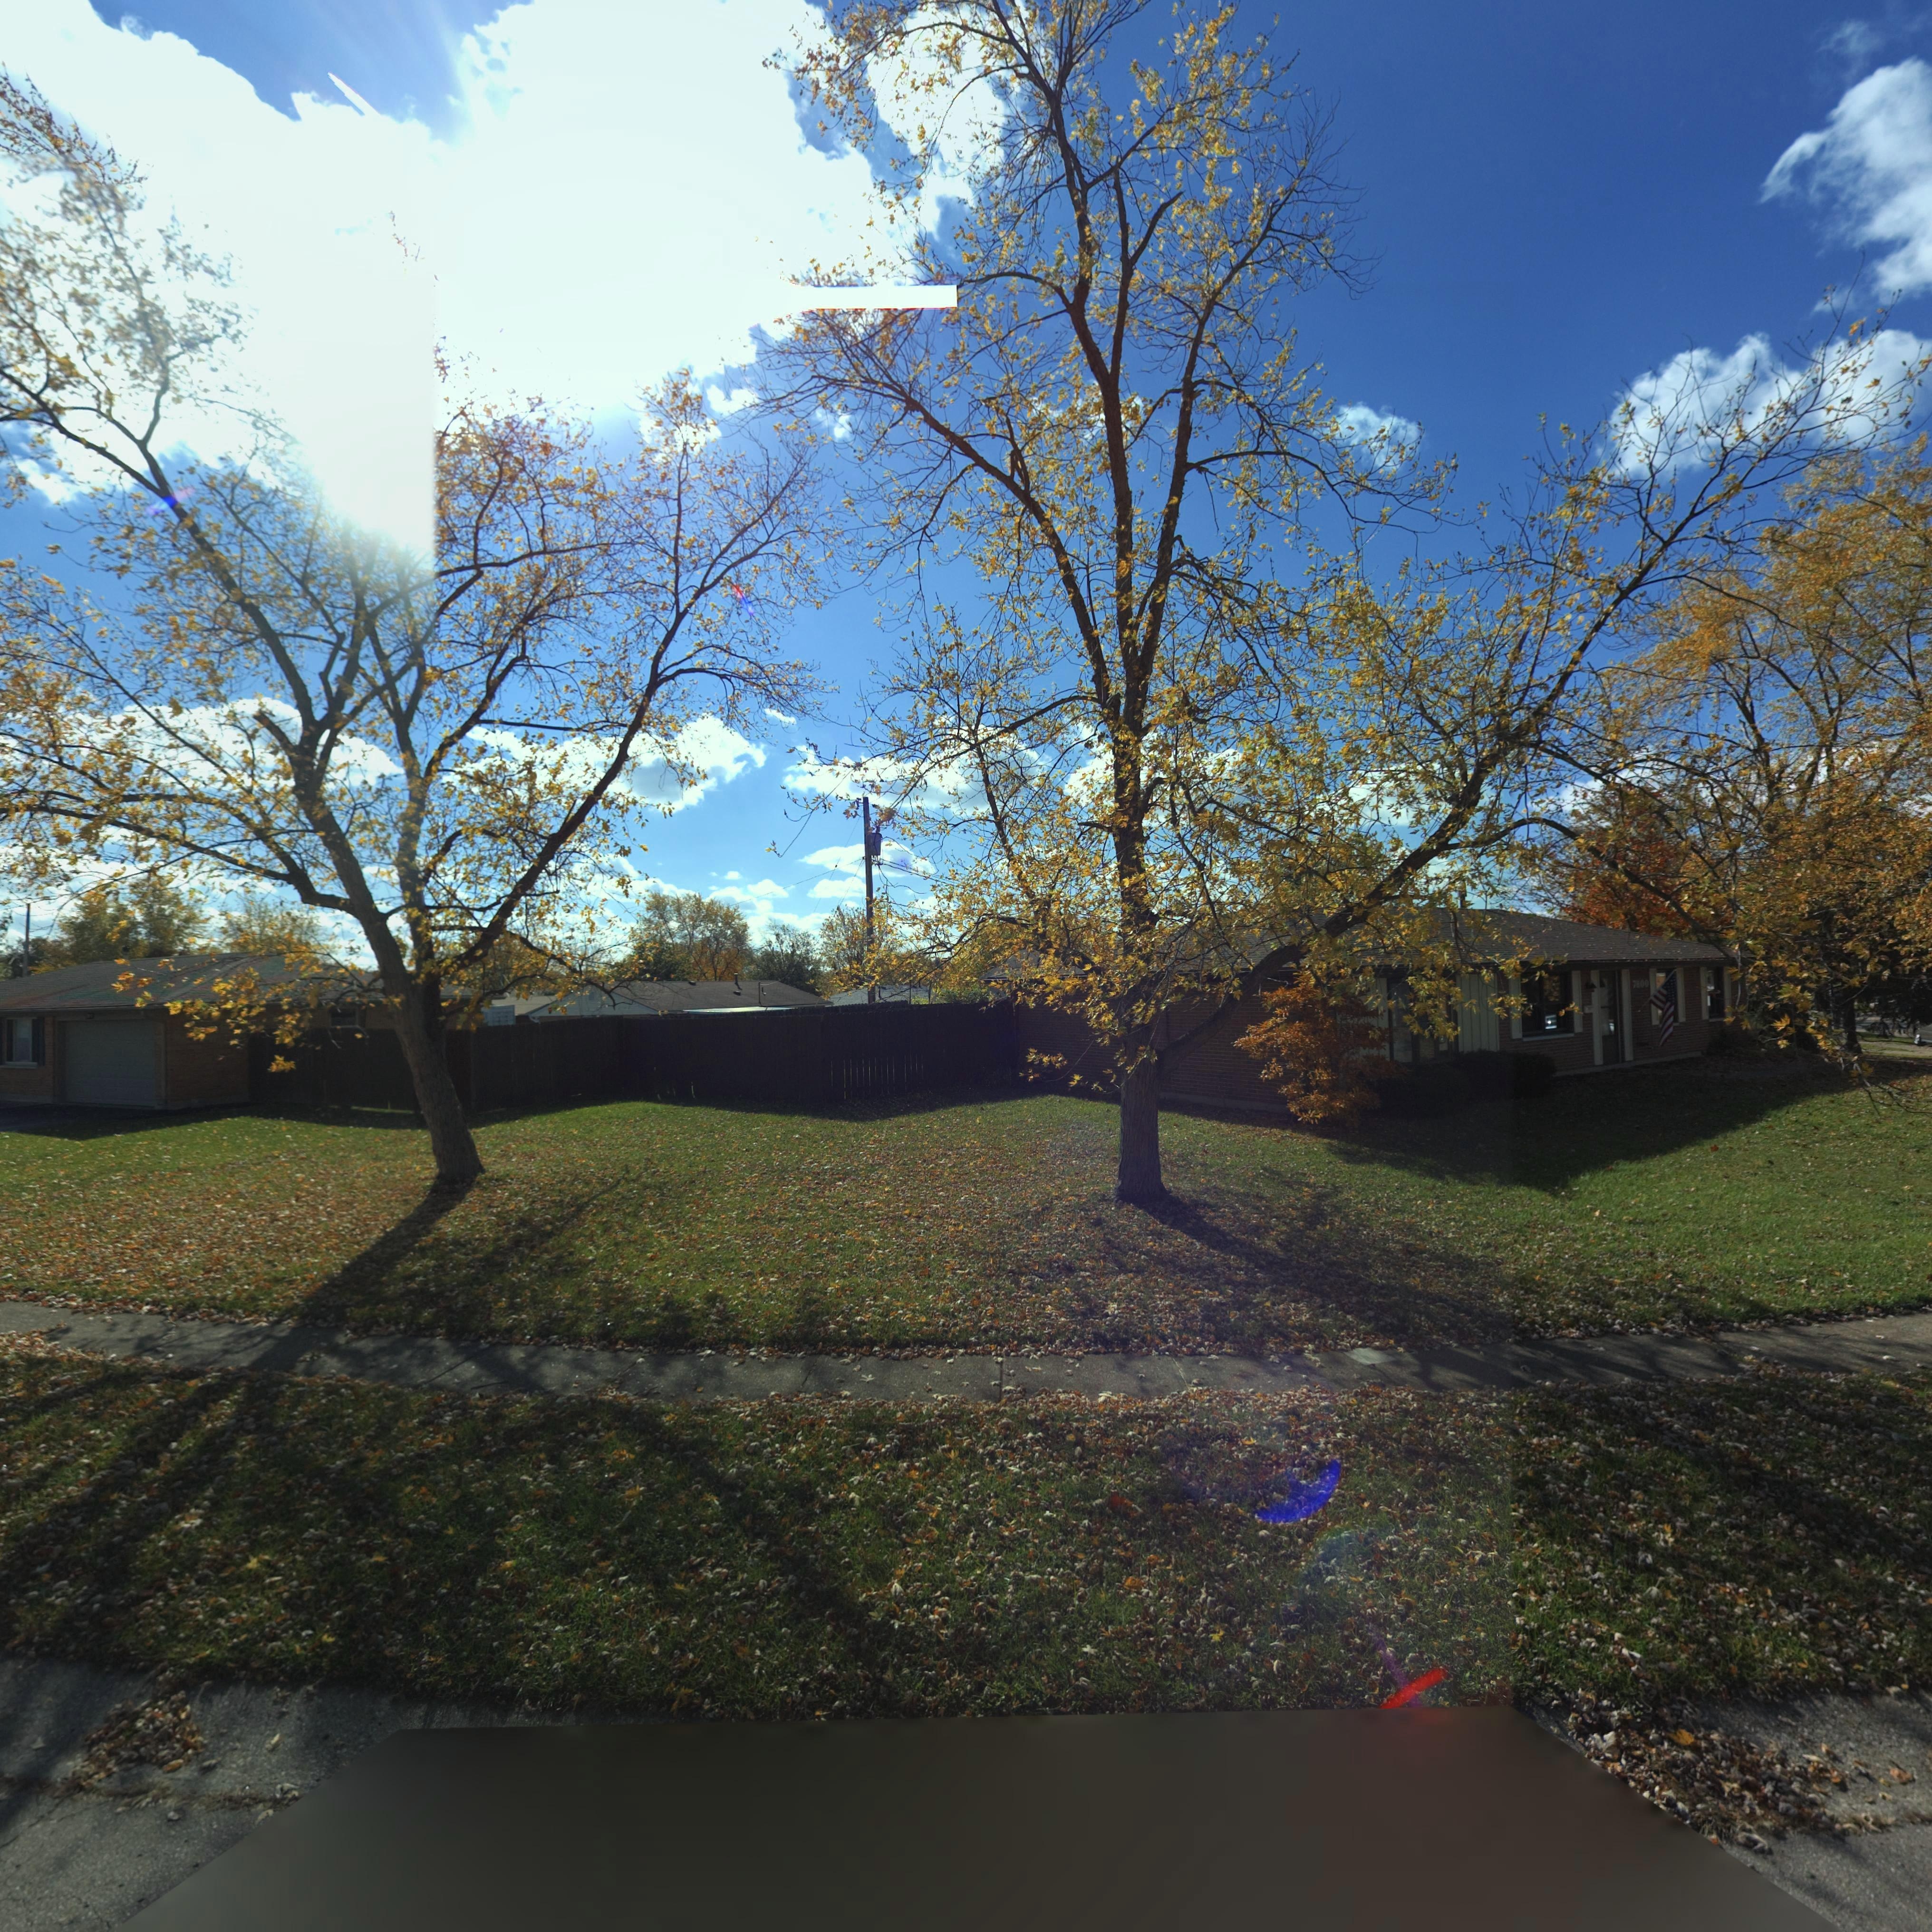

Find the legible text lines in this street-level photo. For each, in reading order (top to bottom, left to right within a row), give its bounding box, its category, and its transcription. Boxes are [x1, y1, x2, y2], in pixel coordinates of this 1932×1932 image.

[1632, 979, 1650, 989] StreetNumber: 7800